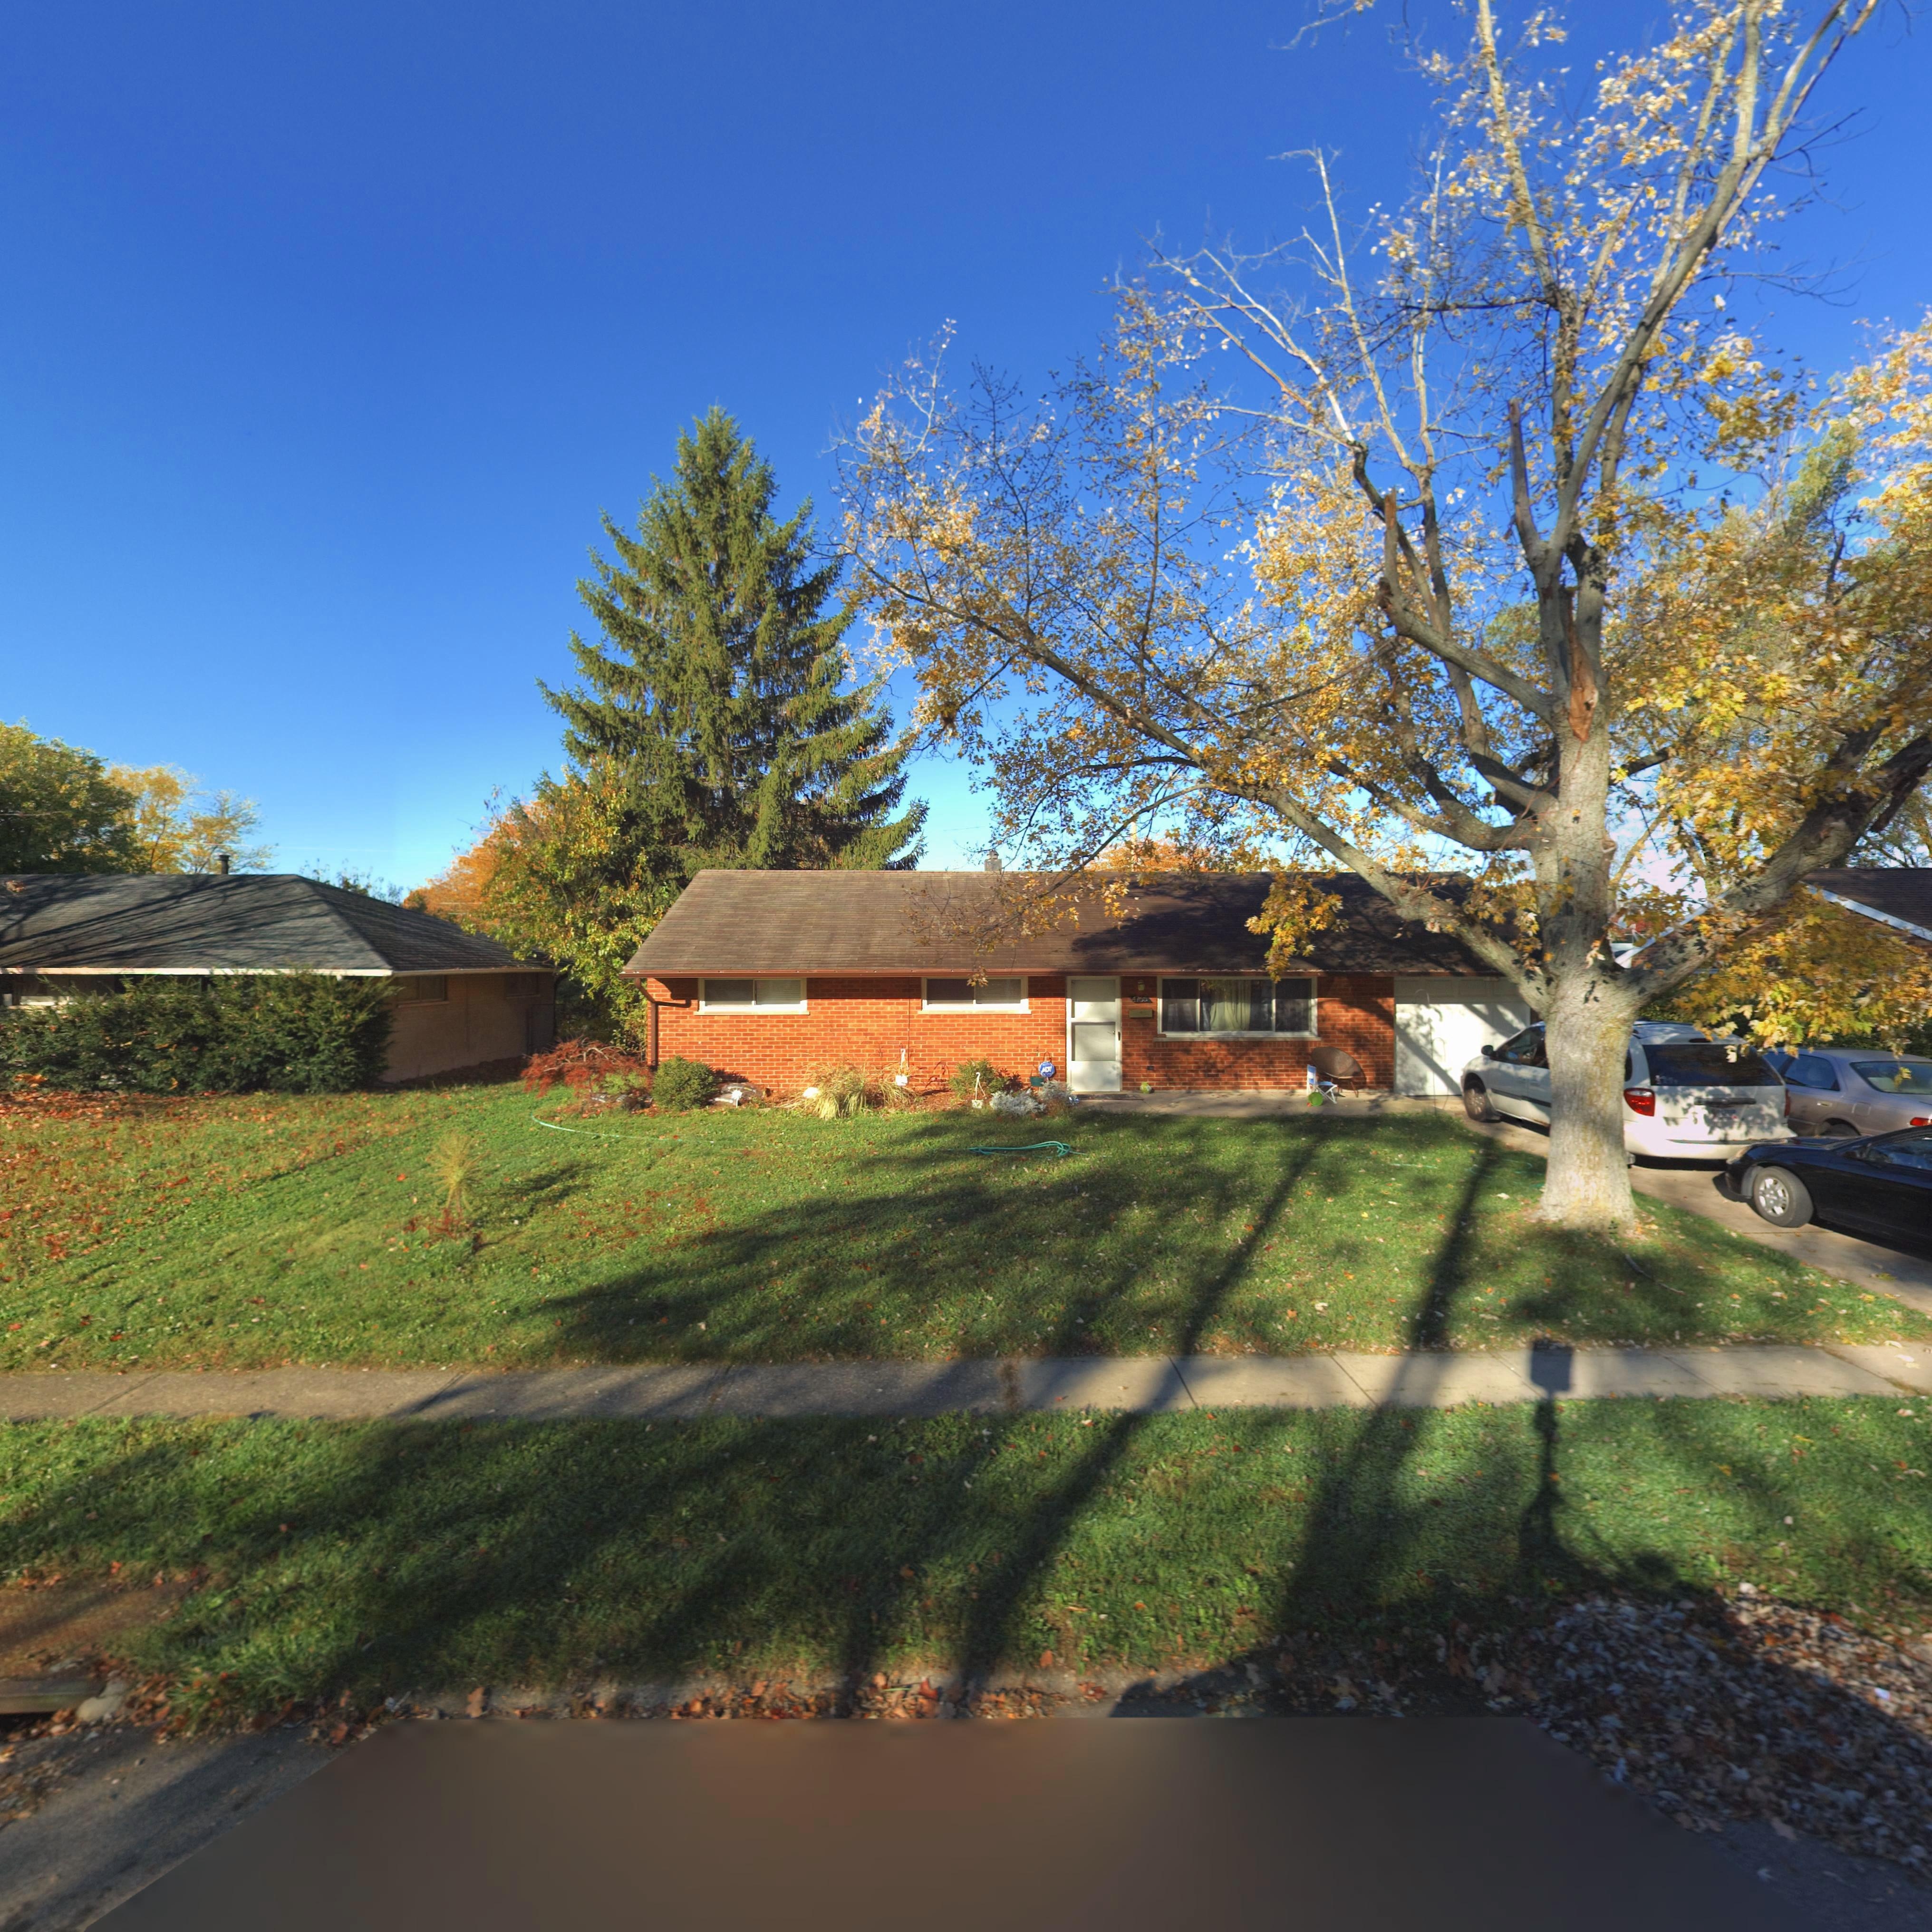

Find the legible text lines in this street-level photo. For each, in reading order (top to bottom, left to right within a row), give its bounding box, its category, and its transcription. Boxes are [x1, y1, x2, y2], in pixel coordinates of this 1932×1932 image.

[1131, 995, 1148, 1003] StreetNumber: 4765